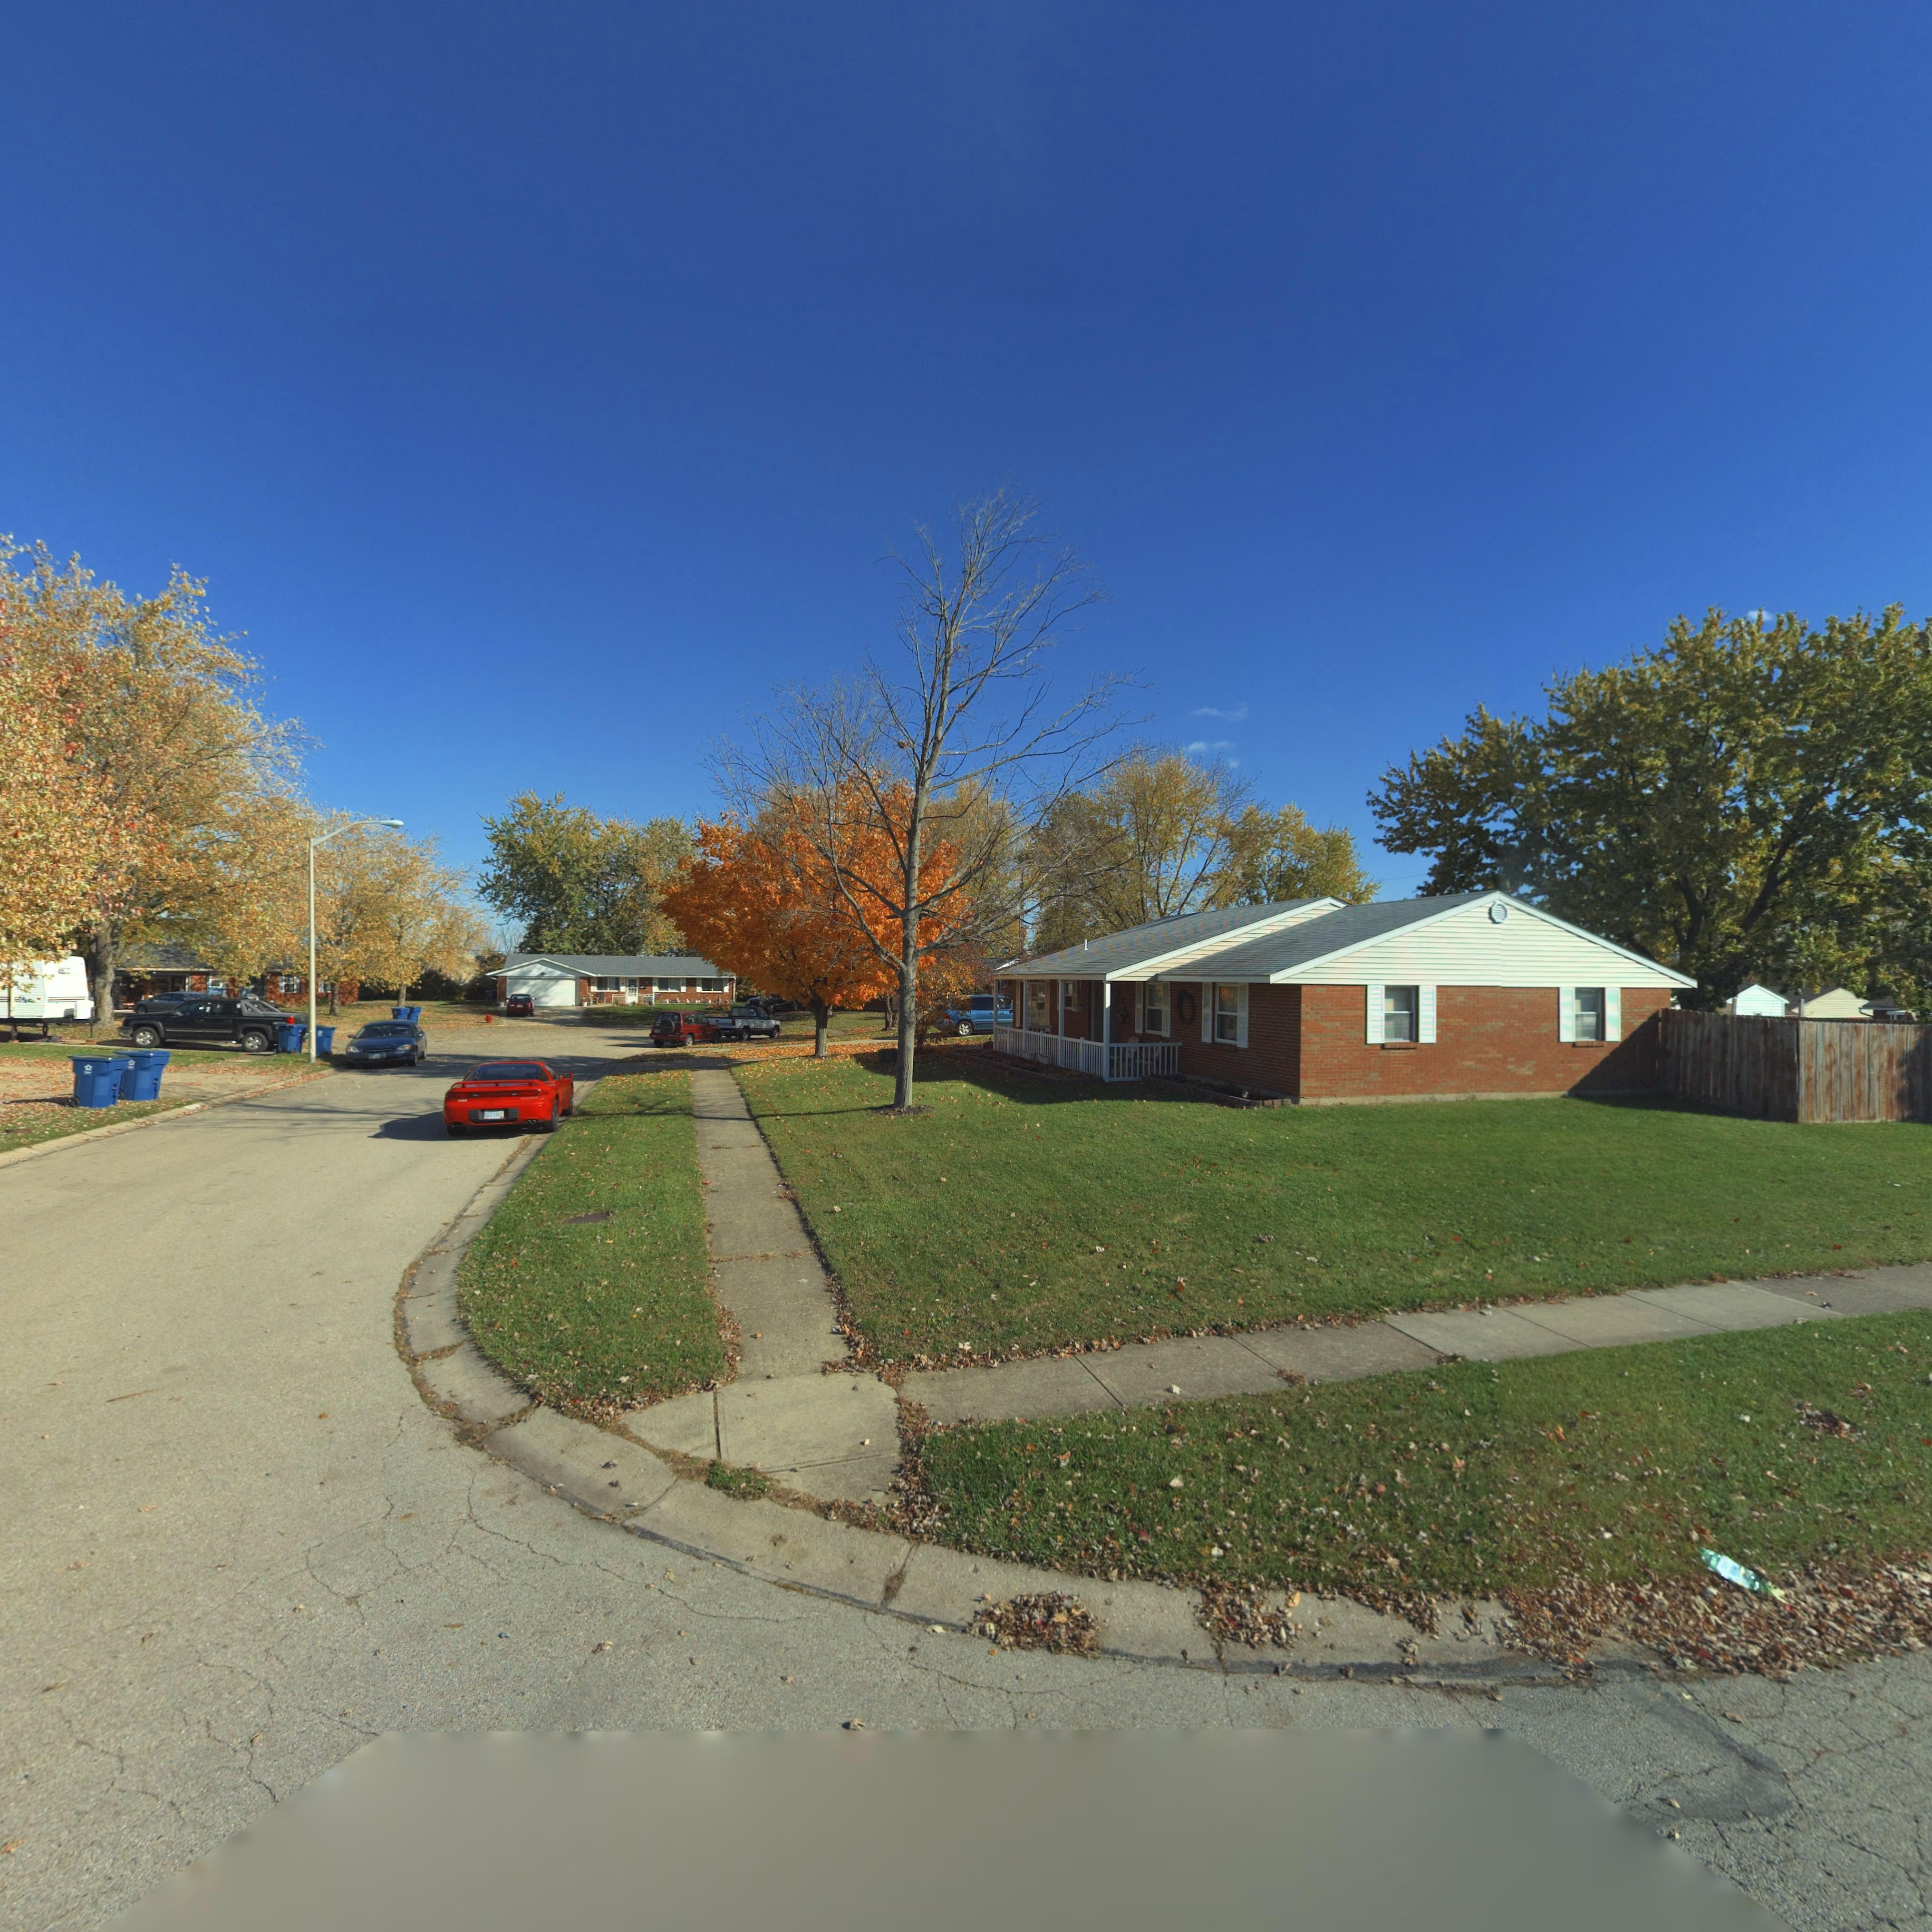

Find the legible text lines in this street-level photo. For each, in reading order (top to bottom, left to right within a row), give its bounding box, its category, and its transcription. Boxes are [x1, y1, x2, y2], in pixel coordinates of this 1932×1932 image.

[1120, 997, 1134, 1028] StreetNumber: 7*0*